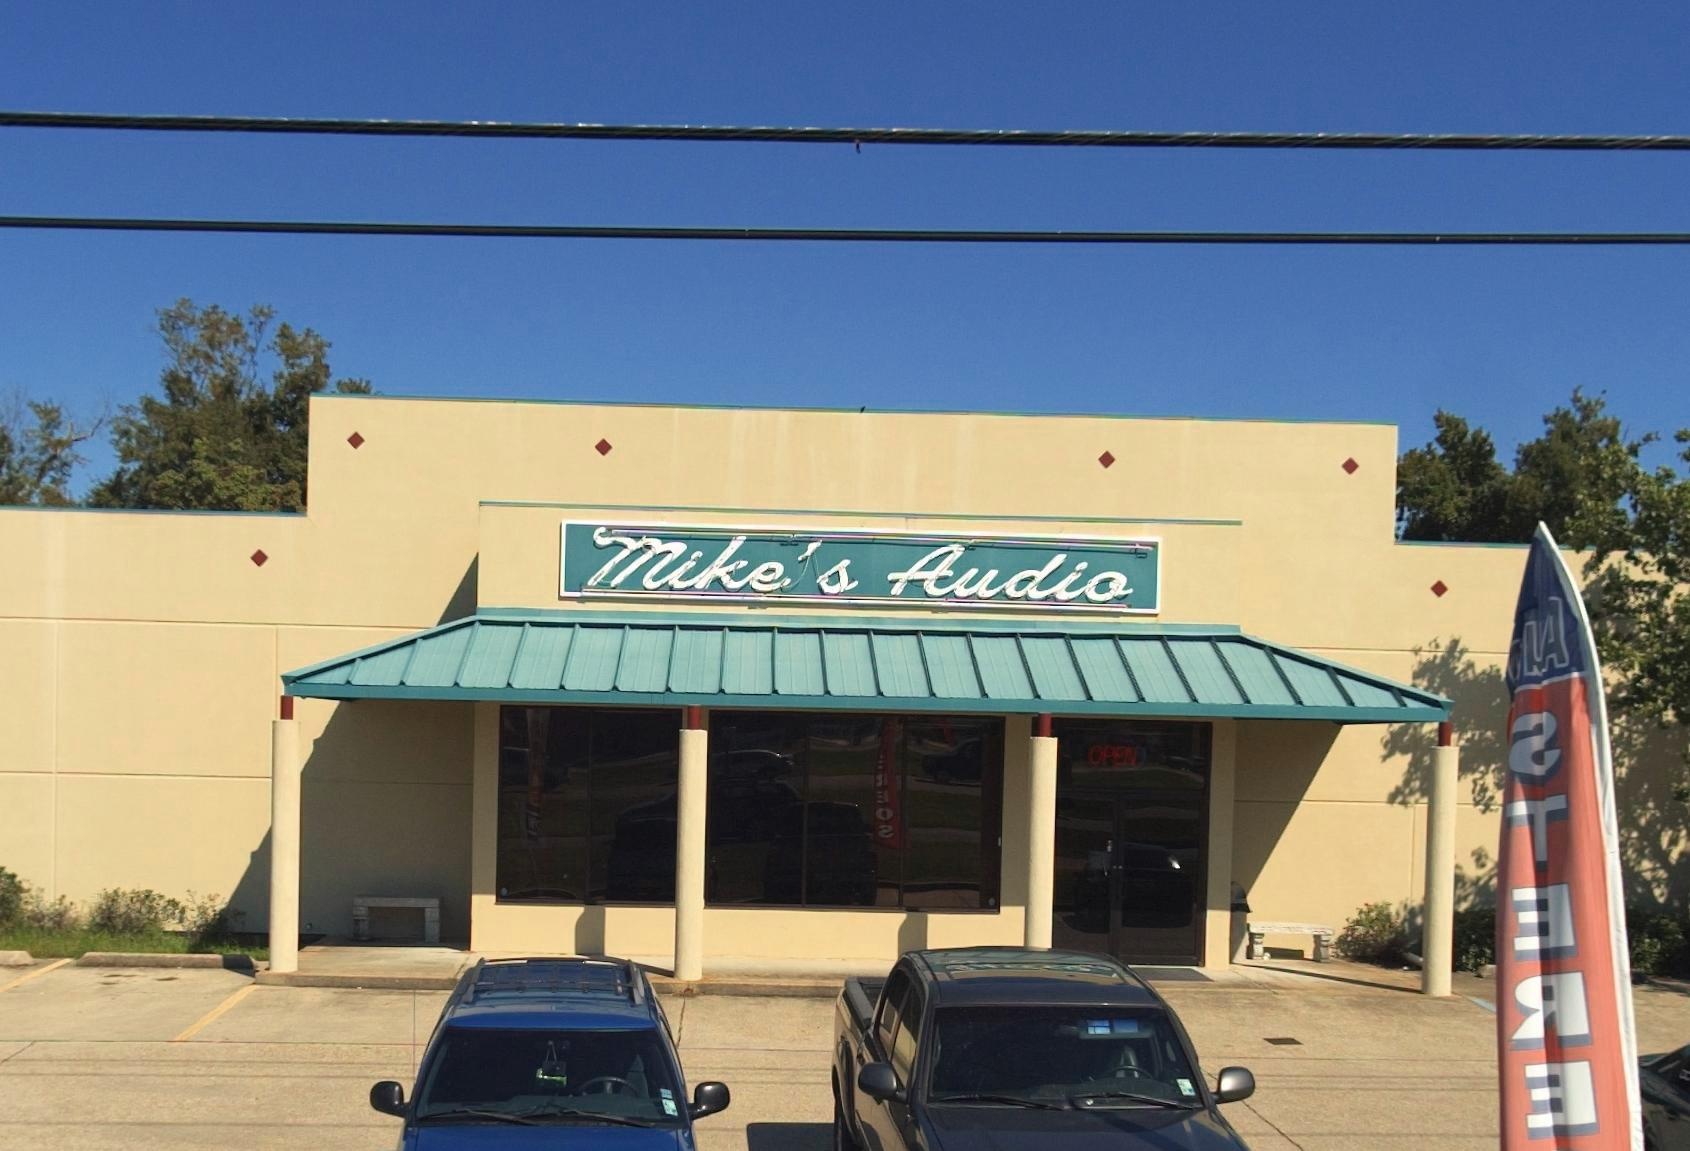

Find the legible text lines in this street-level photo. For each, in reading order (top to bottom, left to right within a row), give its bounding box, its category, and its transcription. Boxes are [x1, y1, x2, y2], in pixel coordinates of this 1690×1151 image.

[575, 531, 1145, 607] BusinessName: Mike's Audio 
[1086, 742, 1141, 769] None: OPEN
[872, 770, 897, 843] None: **O*
[1498, 703, 1605, 1143] None: *T***